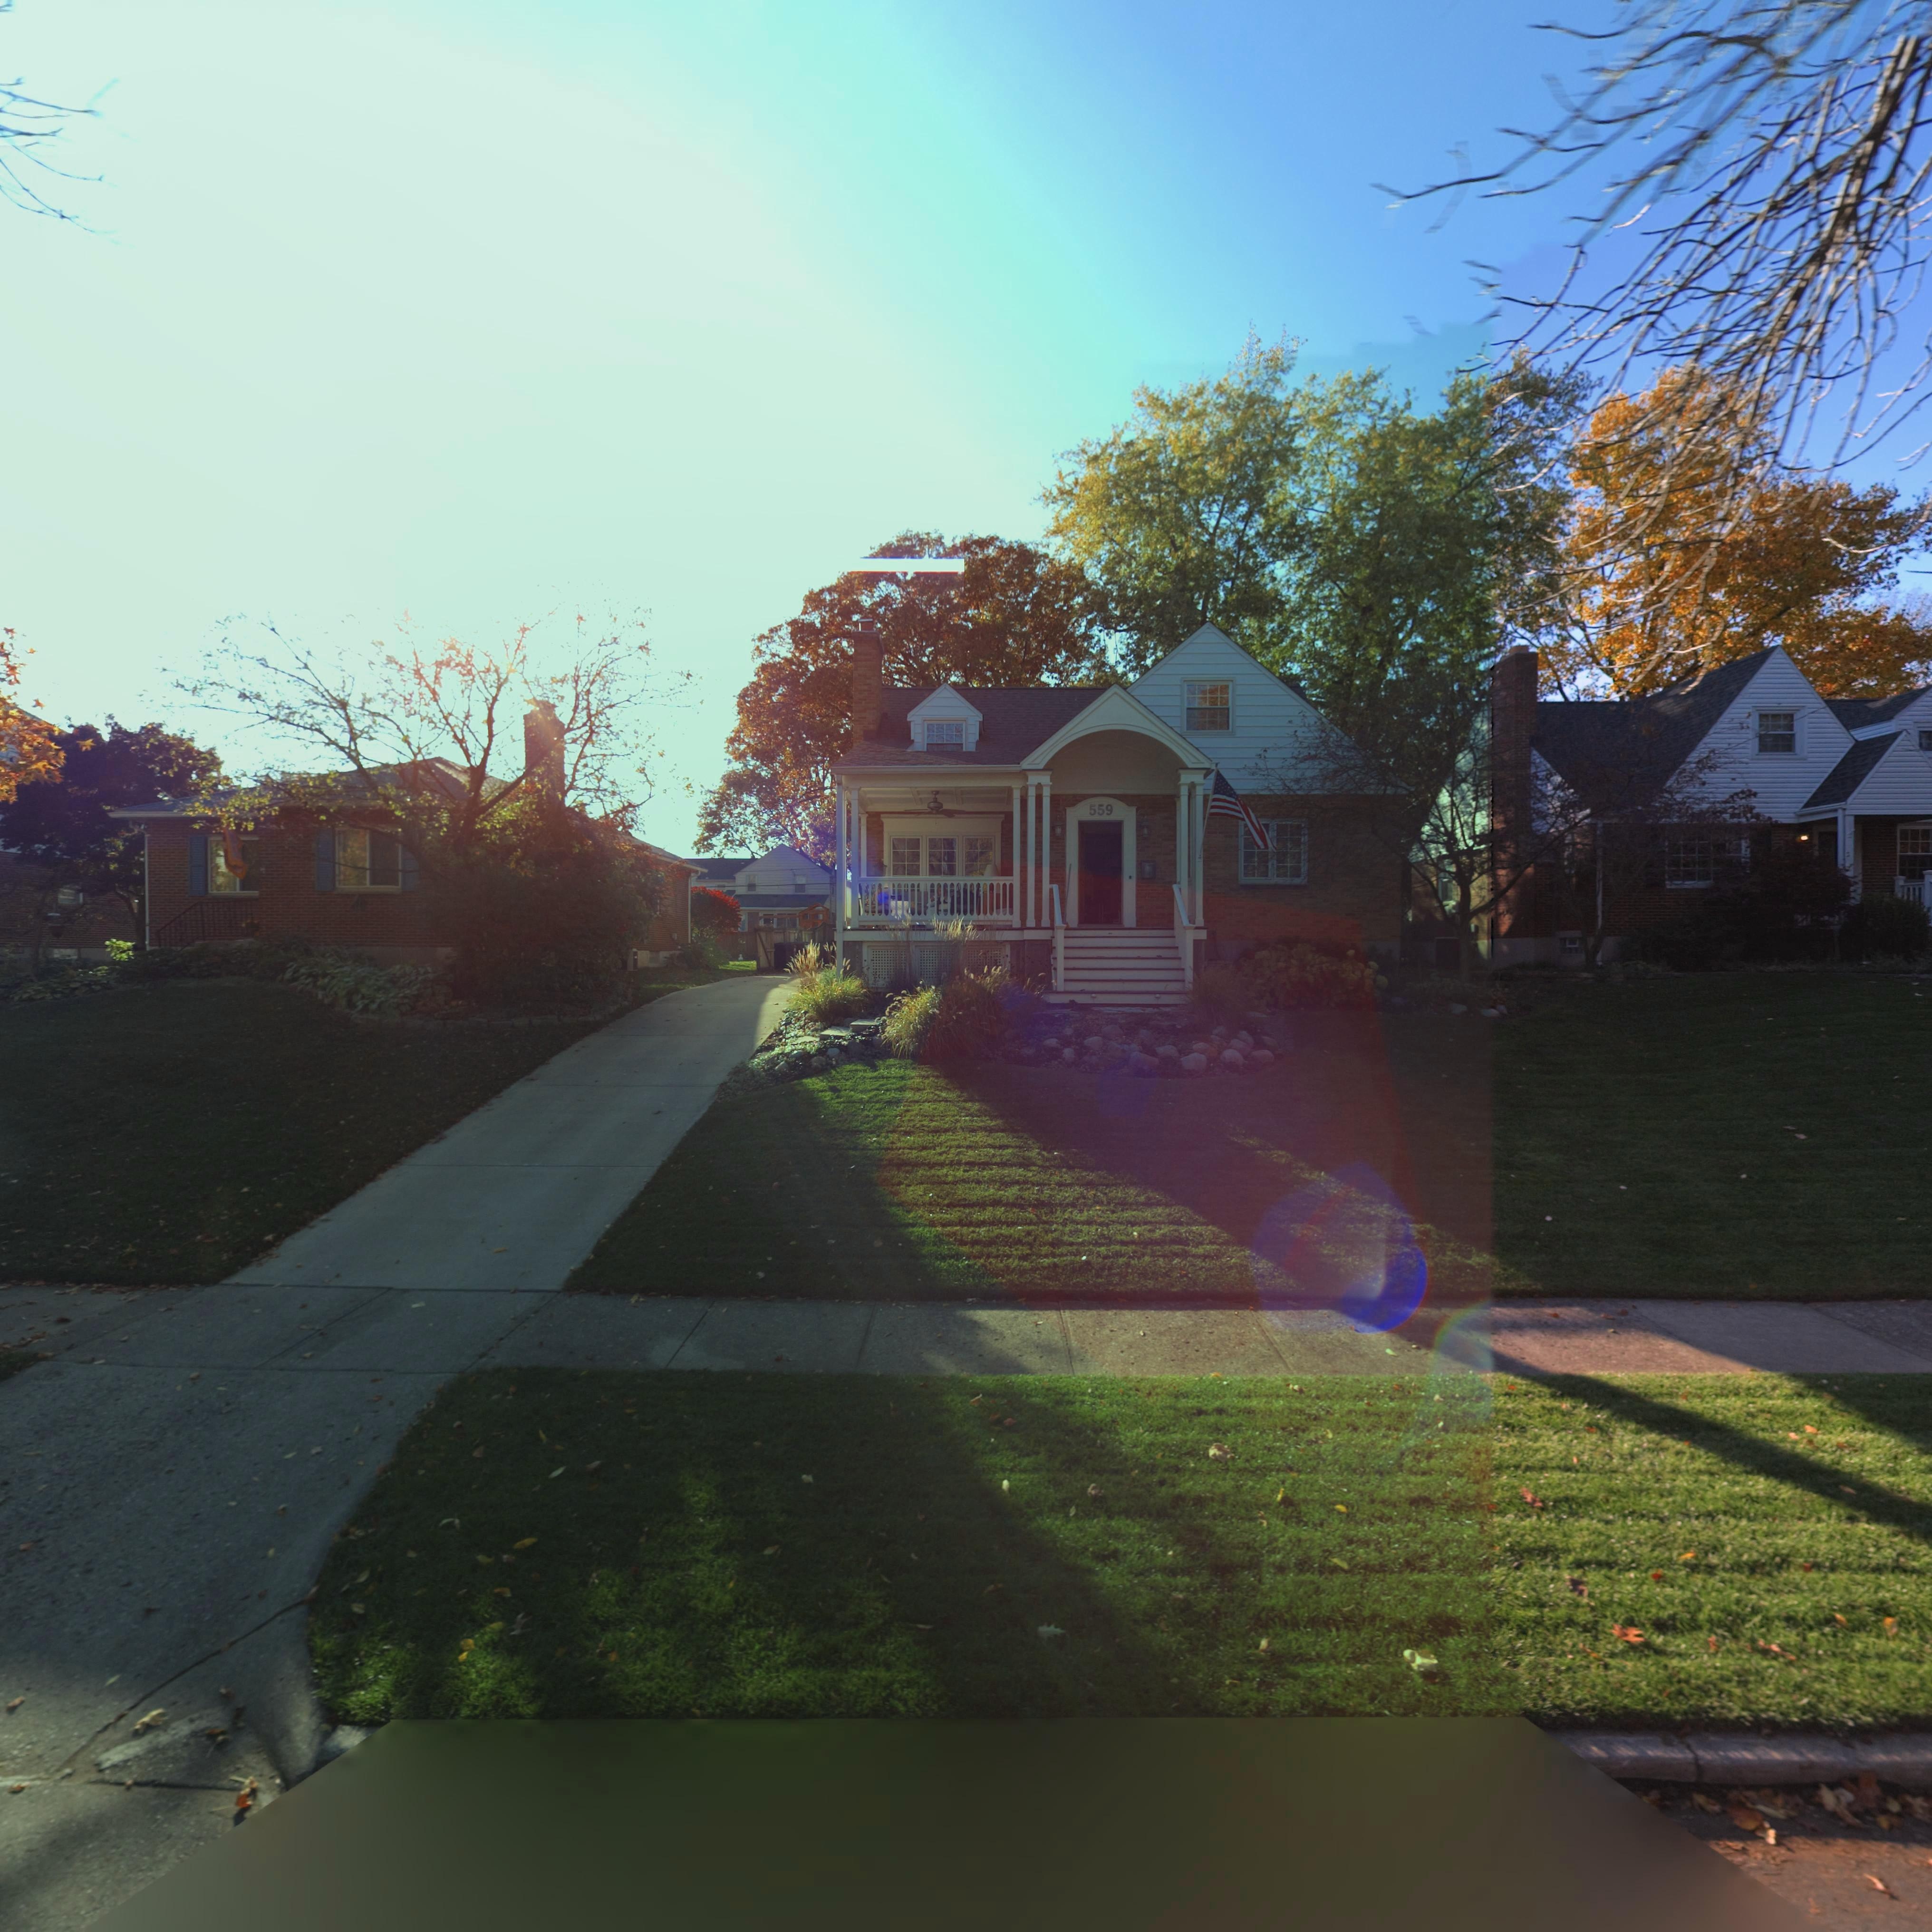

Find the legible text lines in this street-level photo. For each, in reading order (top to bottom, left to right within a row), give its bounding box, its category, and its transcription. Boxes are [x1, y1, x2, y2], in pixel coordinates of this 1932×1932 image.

[1089, 803, 1113, 816] StreetNumber: 559